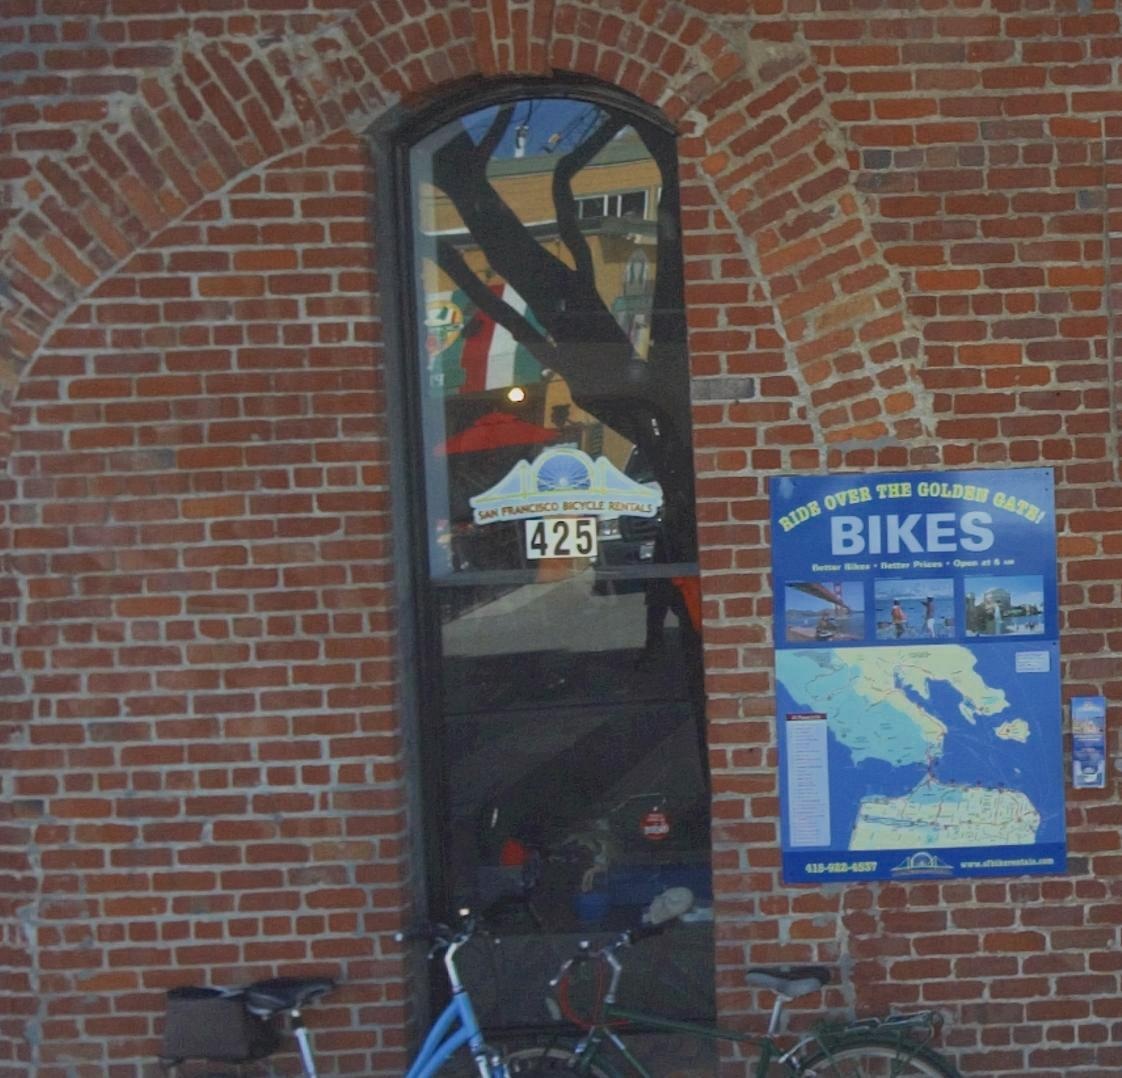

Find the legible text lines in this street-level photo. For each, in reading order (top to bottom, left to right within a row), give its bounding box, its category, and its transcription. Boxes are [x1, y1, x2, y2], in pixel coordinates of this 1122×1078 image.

[476, 500, 653, 521] BusinessName: SAN FRANCISCO BICYLCE RENTALS
[772, 479, 1049, 534] None: RIDE OVER THE GOLDEN GATE!
[528, 518, 595, 557] StreetNumber: 425
[829, 509, 996, 557] None: BIKES
[803, 859, 880, 875] None: 415-922-4537